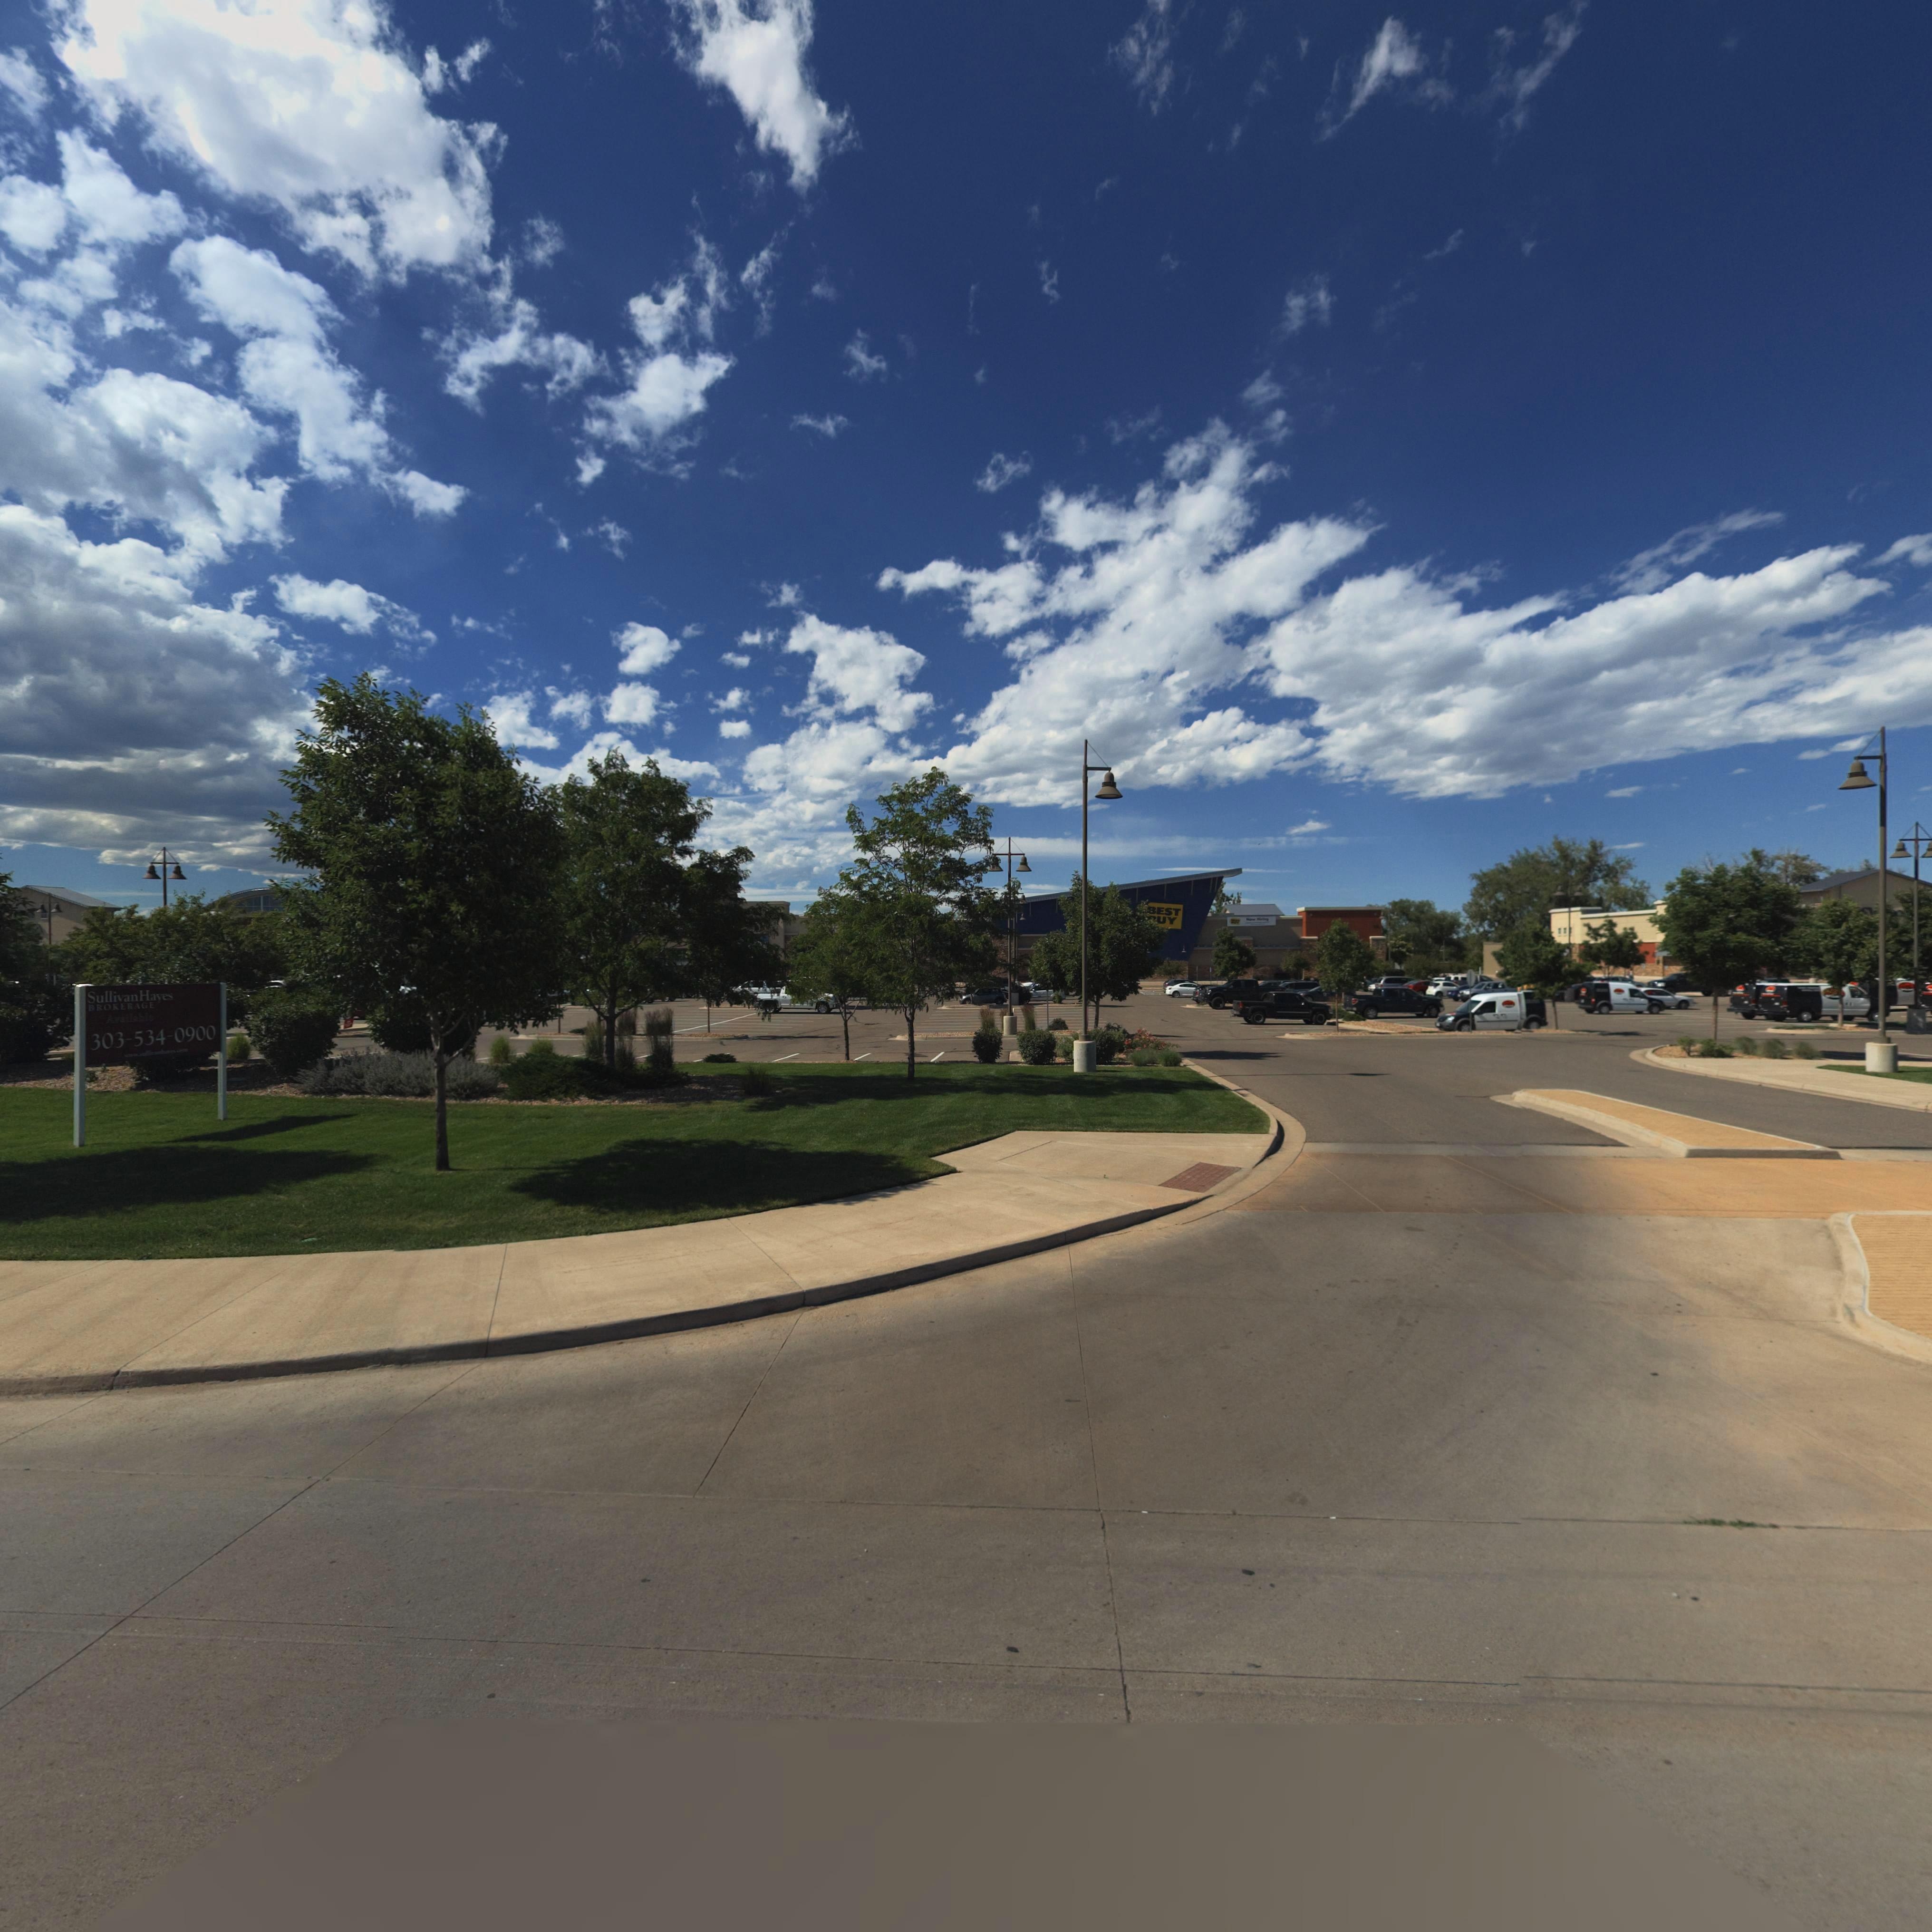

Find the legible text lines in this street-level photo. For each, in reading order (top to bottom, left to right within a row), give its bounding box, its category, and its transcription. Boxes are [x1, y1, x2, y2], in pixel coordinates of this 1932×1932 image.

[1147, 906, 1182, 916] BusinessName: BEST
[1156, 915, 1178, 926] BusinessName: UY